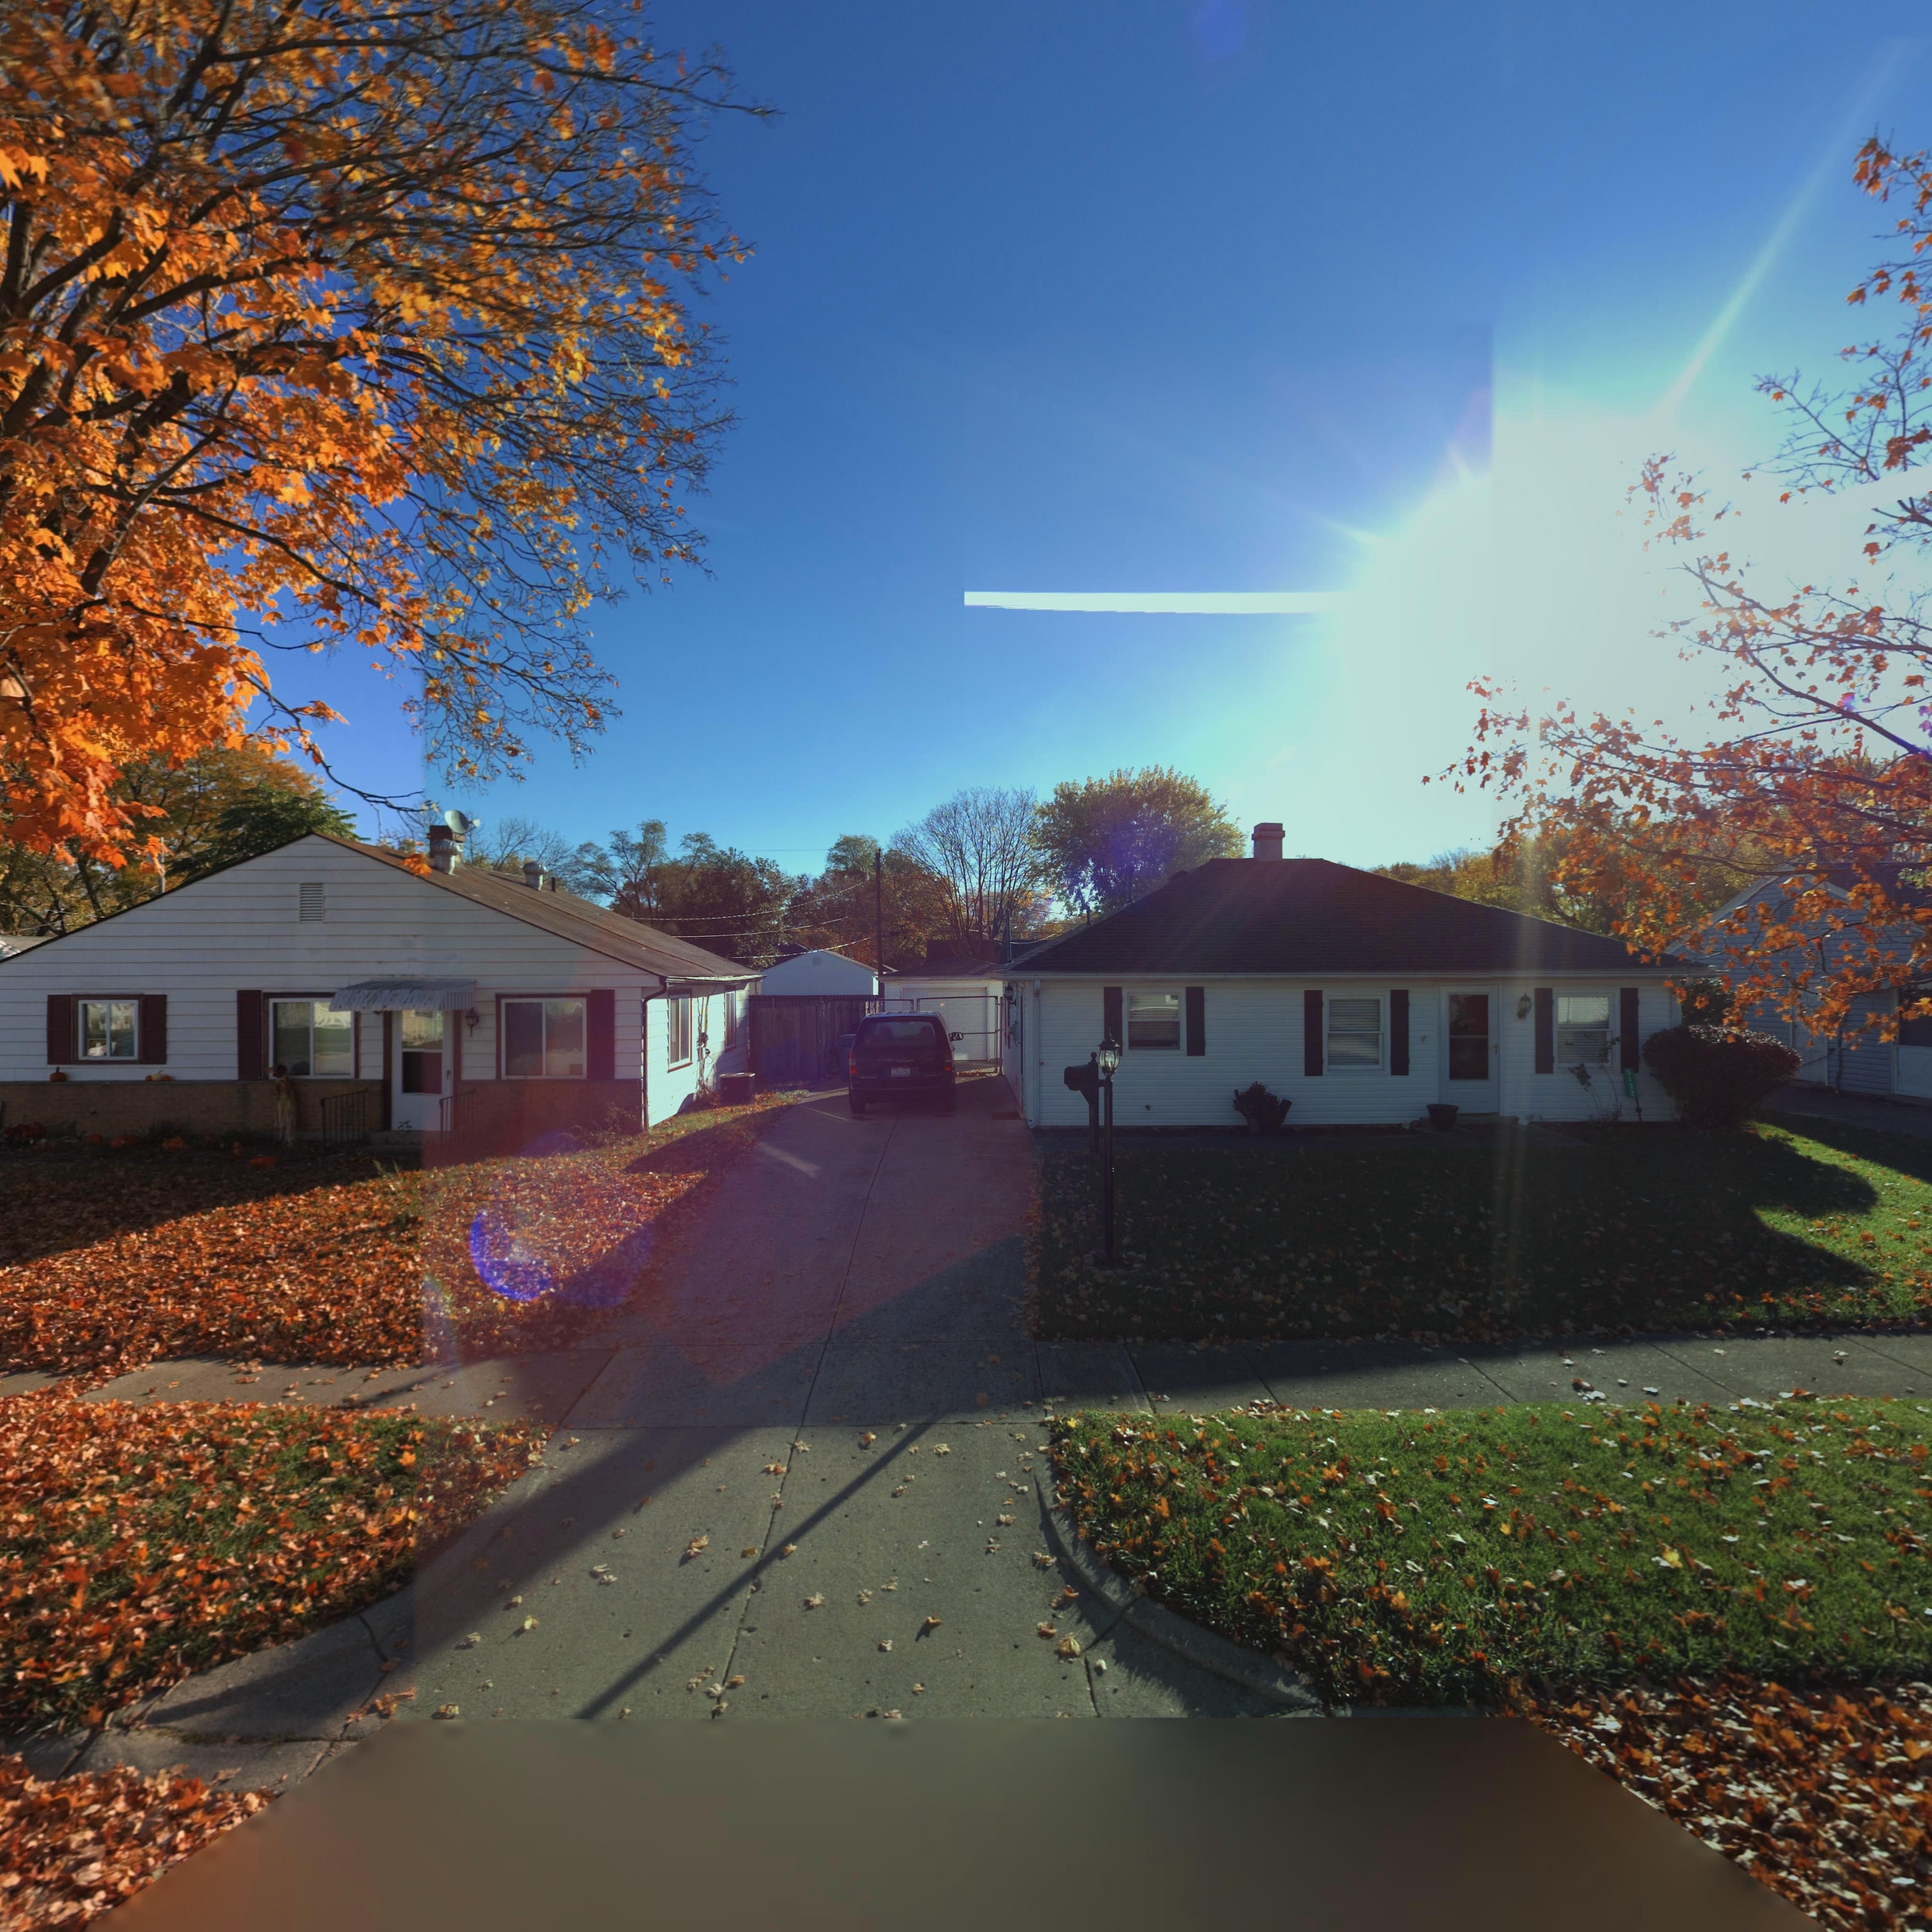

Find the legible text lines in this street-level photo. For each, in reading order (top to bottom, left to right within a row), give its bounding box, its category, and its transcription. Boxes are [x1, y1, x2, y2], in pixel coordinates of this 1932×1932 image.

[1625, 1069, 1636, 1097] StreetNumber: 5312
[1089, 1108, 1094, 1148] StreetNumber: 5132